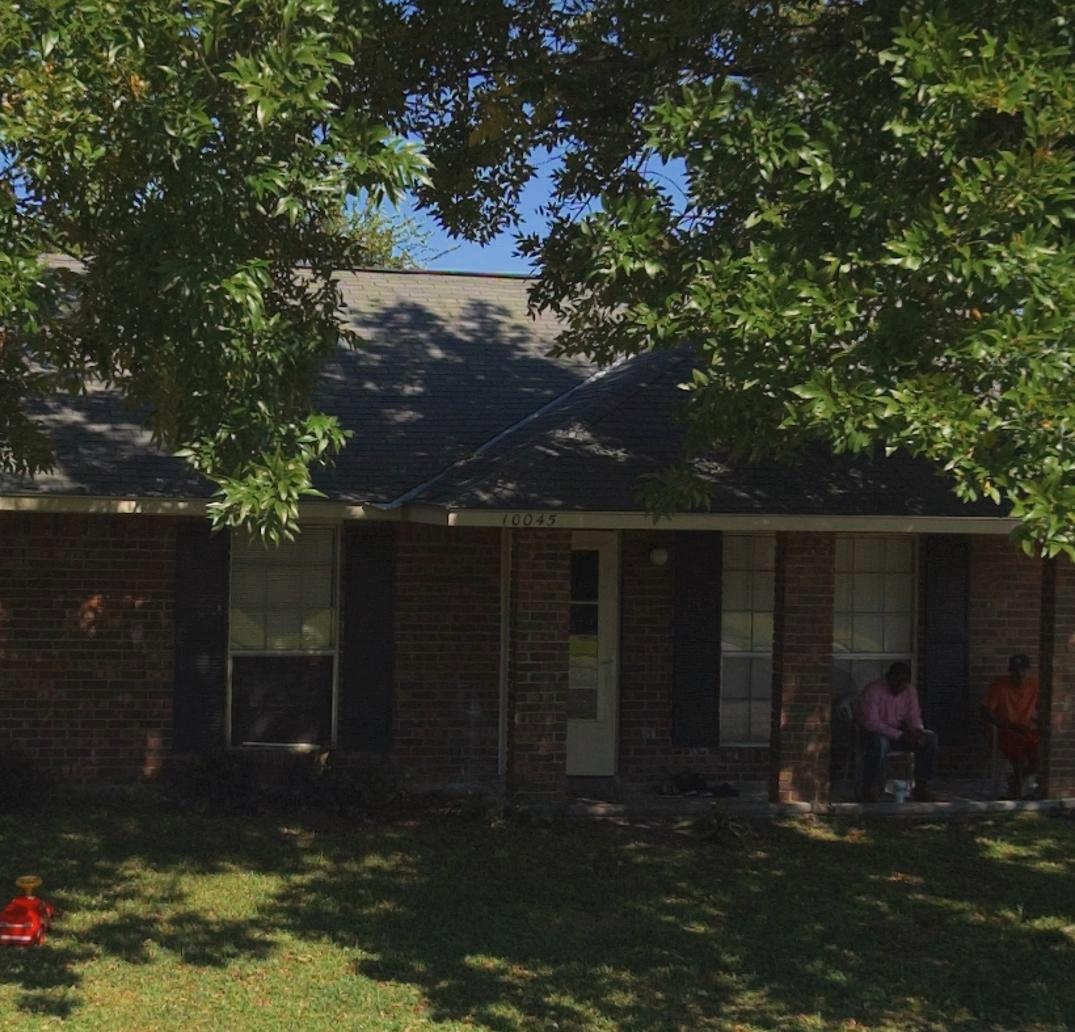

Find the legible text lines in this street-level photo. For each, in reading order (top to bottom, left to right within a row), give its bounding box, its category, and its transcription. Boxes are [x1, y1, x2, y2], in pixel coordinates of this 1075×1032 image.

[500, 512, 557, 526] StreetNumber: 10045